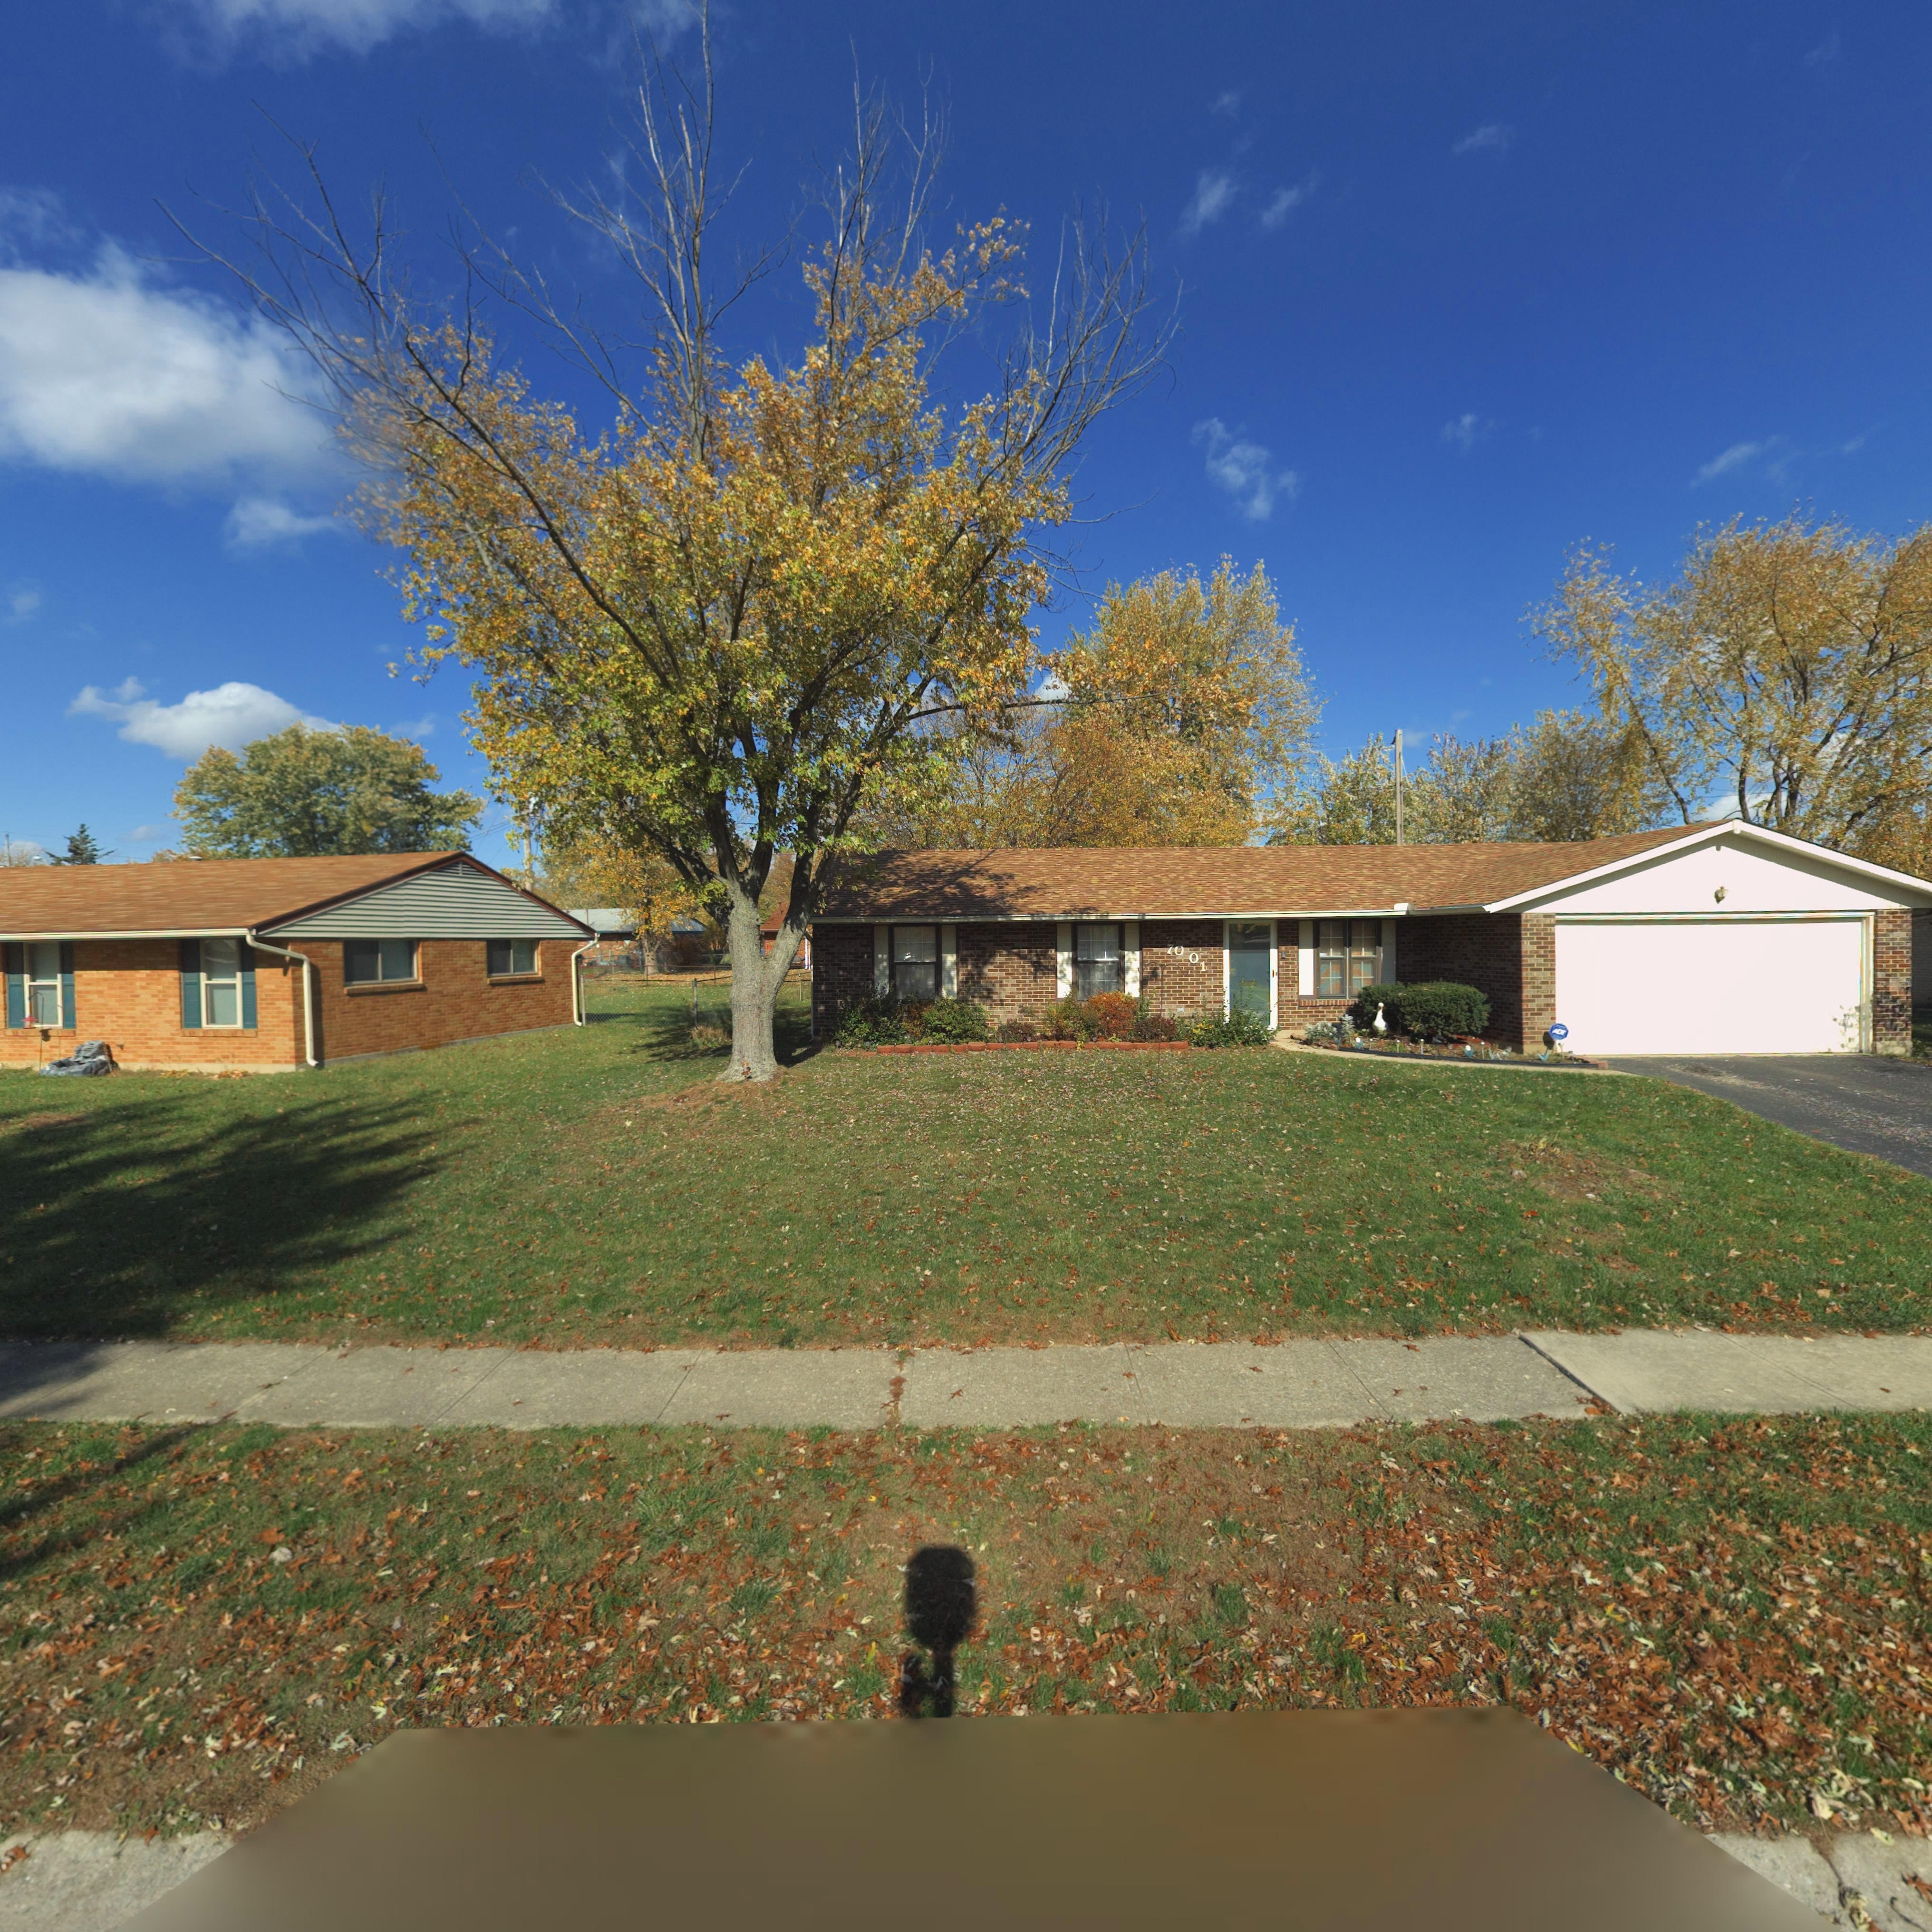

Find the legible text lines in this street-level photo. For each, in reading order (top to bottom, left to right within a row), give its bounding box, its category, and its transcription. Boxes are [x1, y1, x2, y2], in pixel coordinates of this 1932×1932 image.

[1165, 943, 1207, 973] StreetNumber: 7001